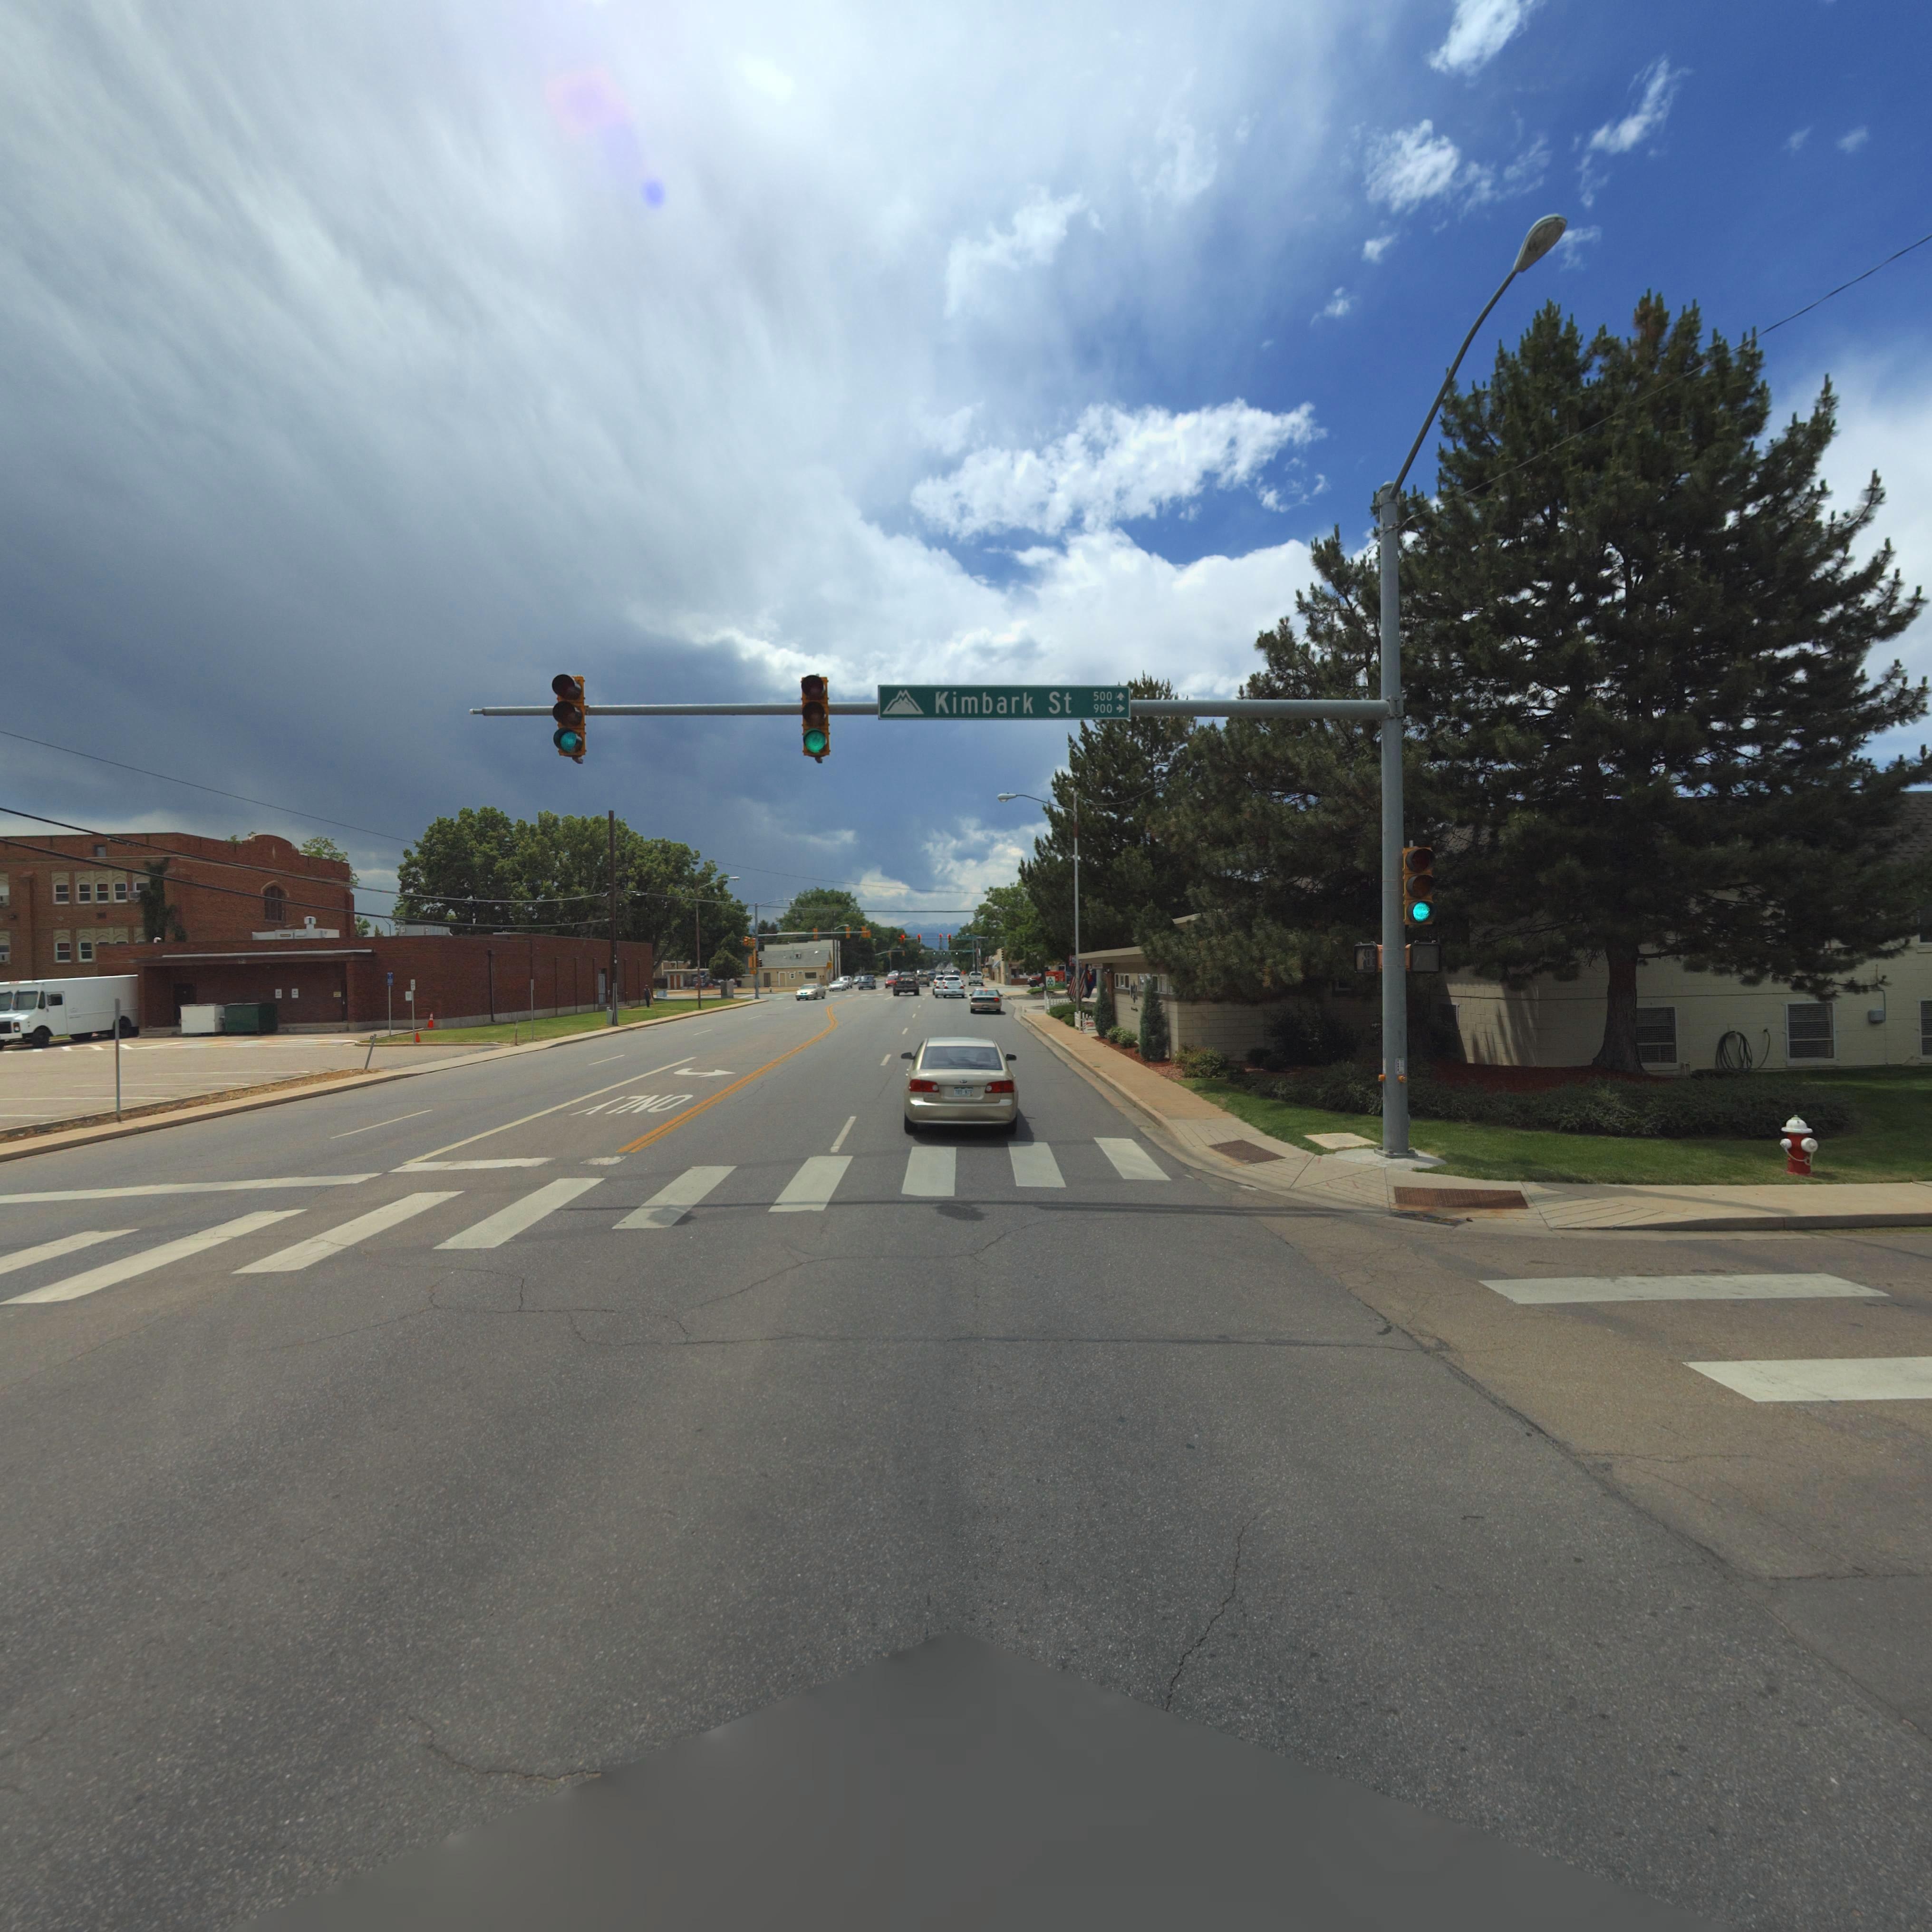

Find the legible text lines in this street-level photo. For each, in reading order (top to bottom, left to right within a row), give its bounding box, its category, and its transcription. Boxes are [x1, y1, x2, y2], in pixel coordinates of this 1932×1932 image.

[1093, 691, 1112, 701] StreetNumberRange: 500
[934, 691, 1072, 714] StreetName: Kimbark St
[1093, 704, 1125, 714] StreetNumberRange: 900 ->